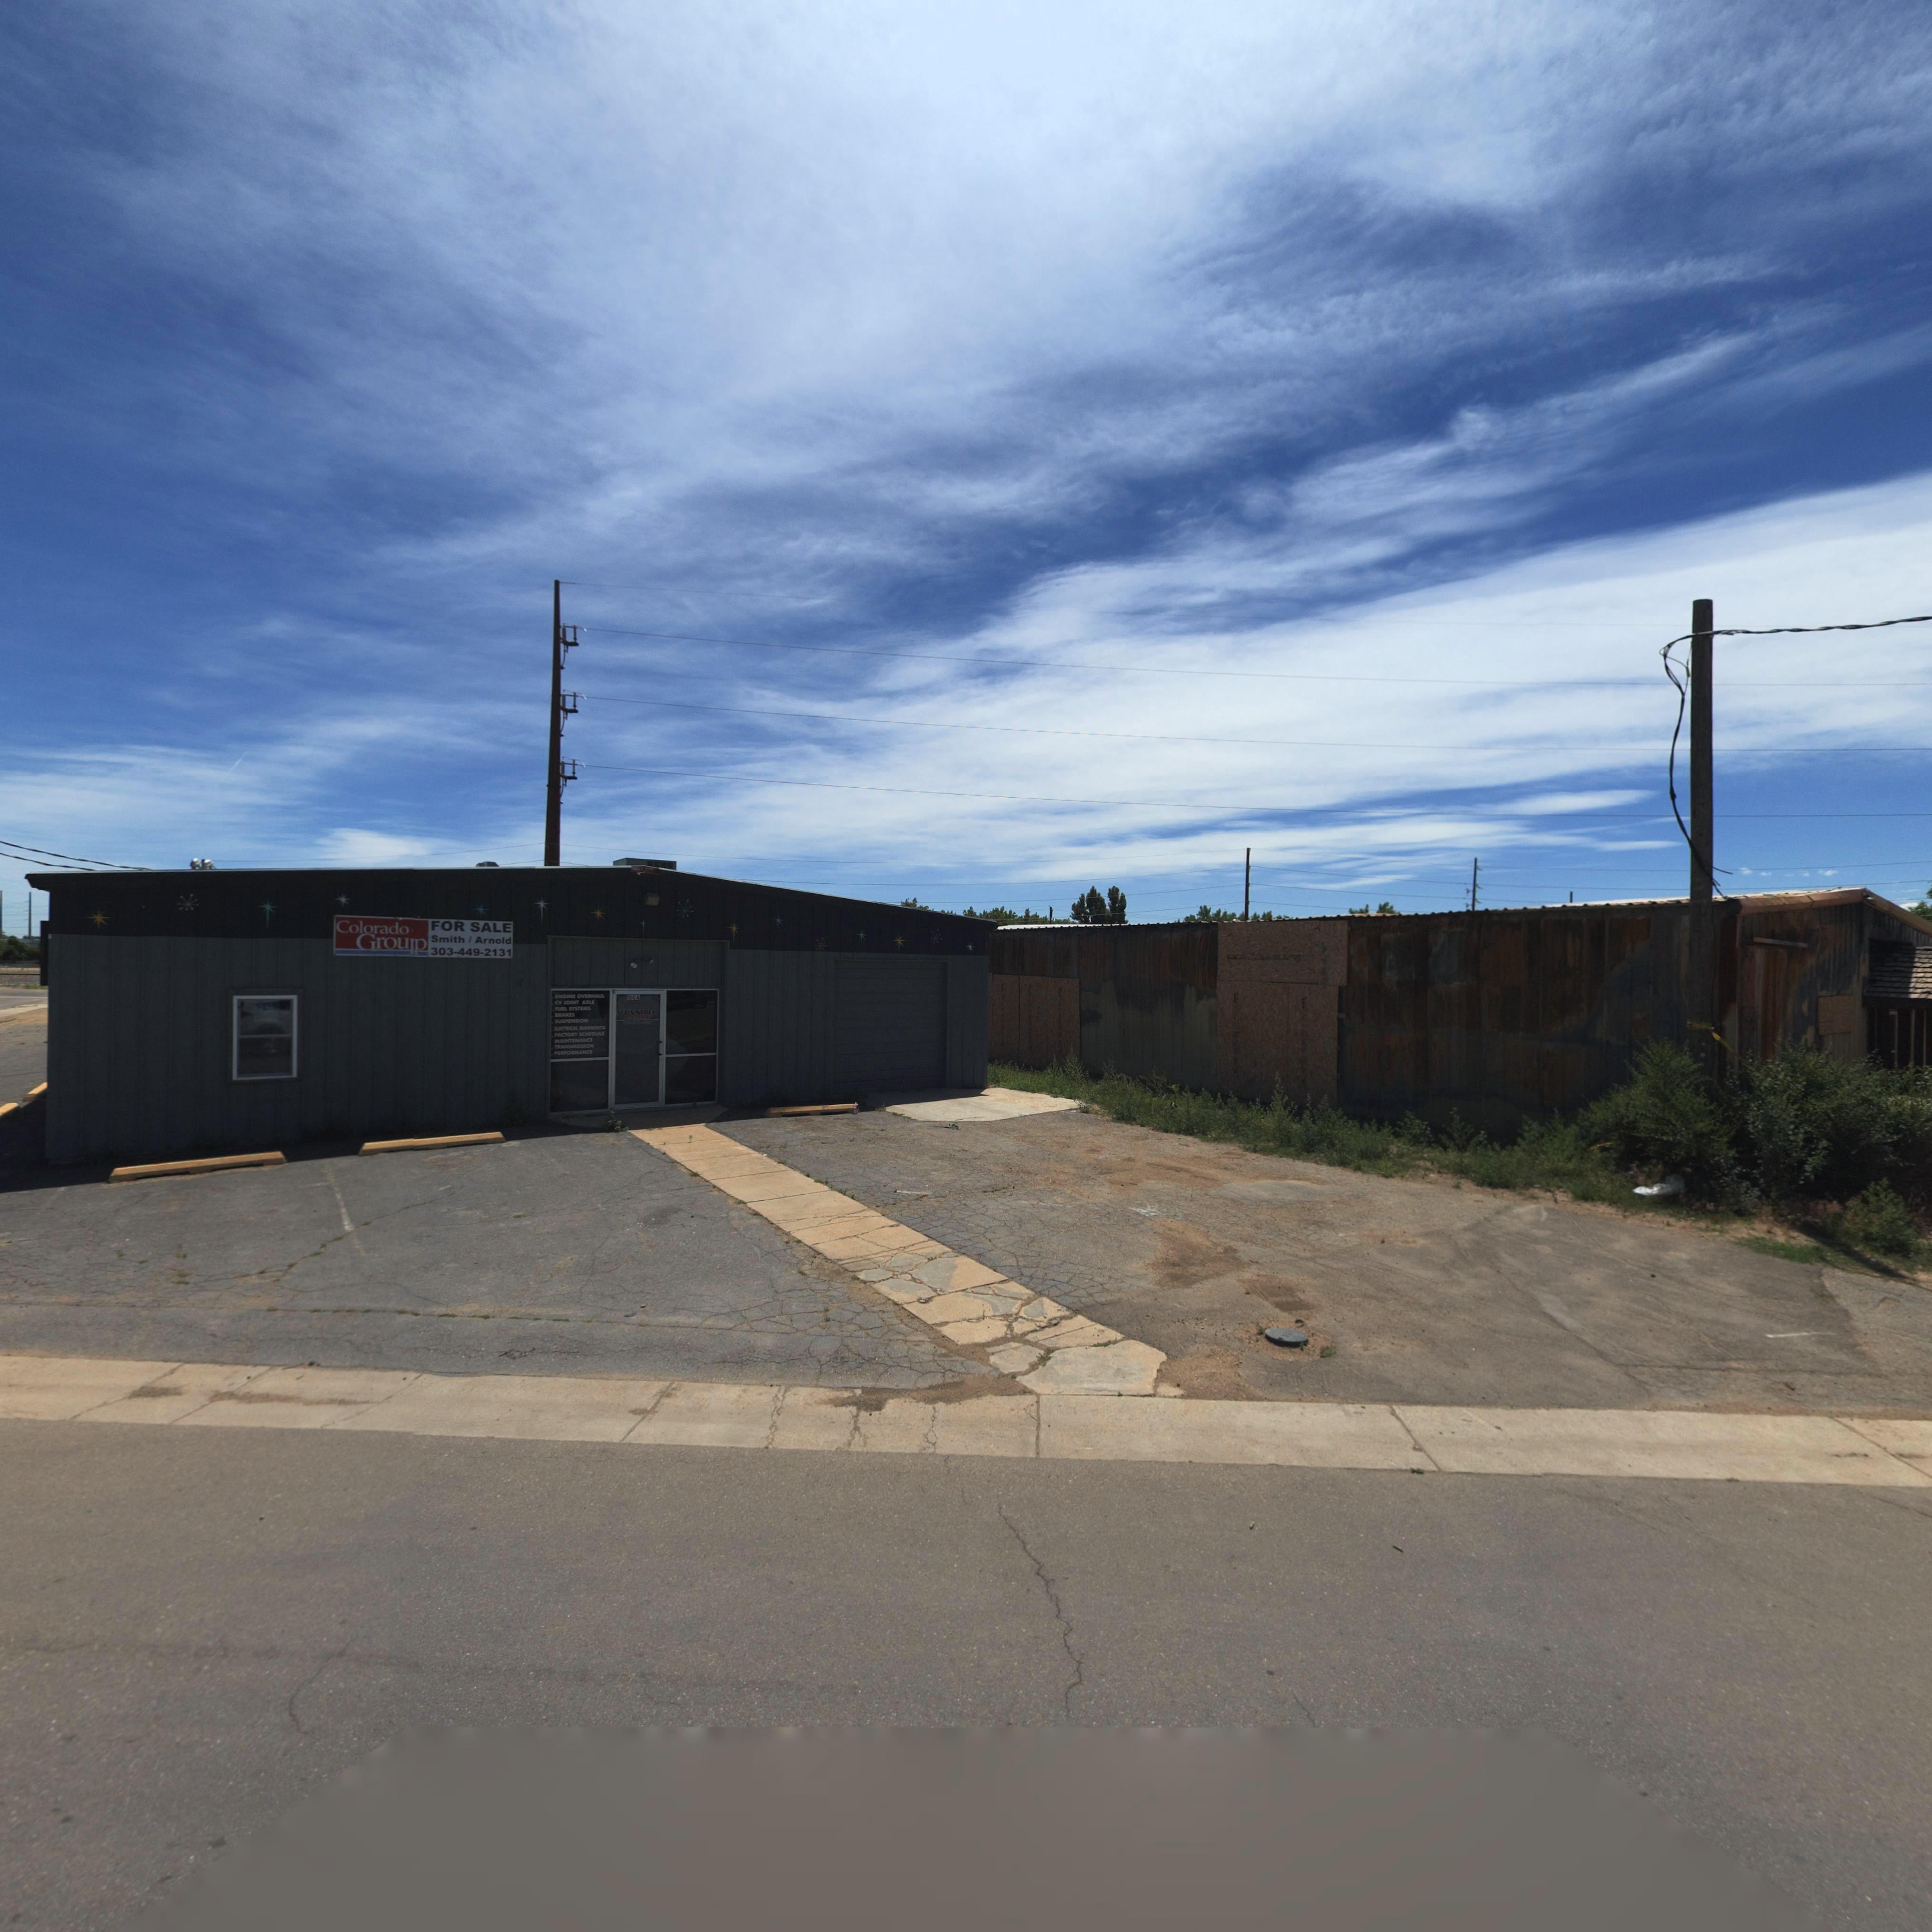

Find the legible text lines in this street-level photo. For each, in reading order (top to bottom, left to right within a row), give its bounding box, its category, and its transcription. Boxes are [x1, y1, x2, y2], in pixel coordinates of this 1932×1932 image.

[627, 995, 639, 1000] StreetNumber: 100*
[616, 1009, 659, 1015] BusinessName: MAINSTREET